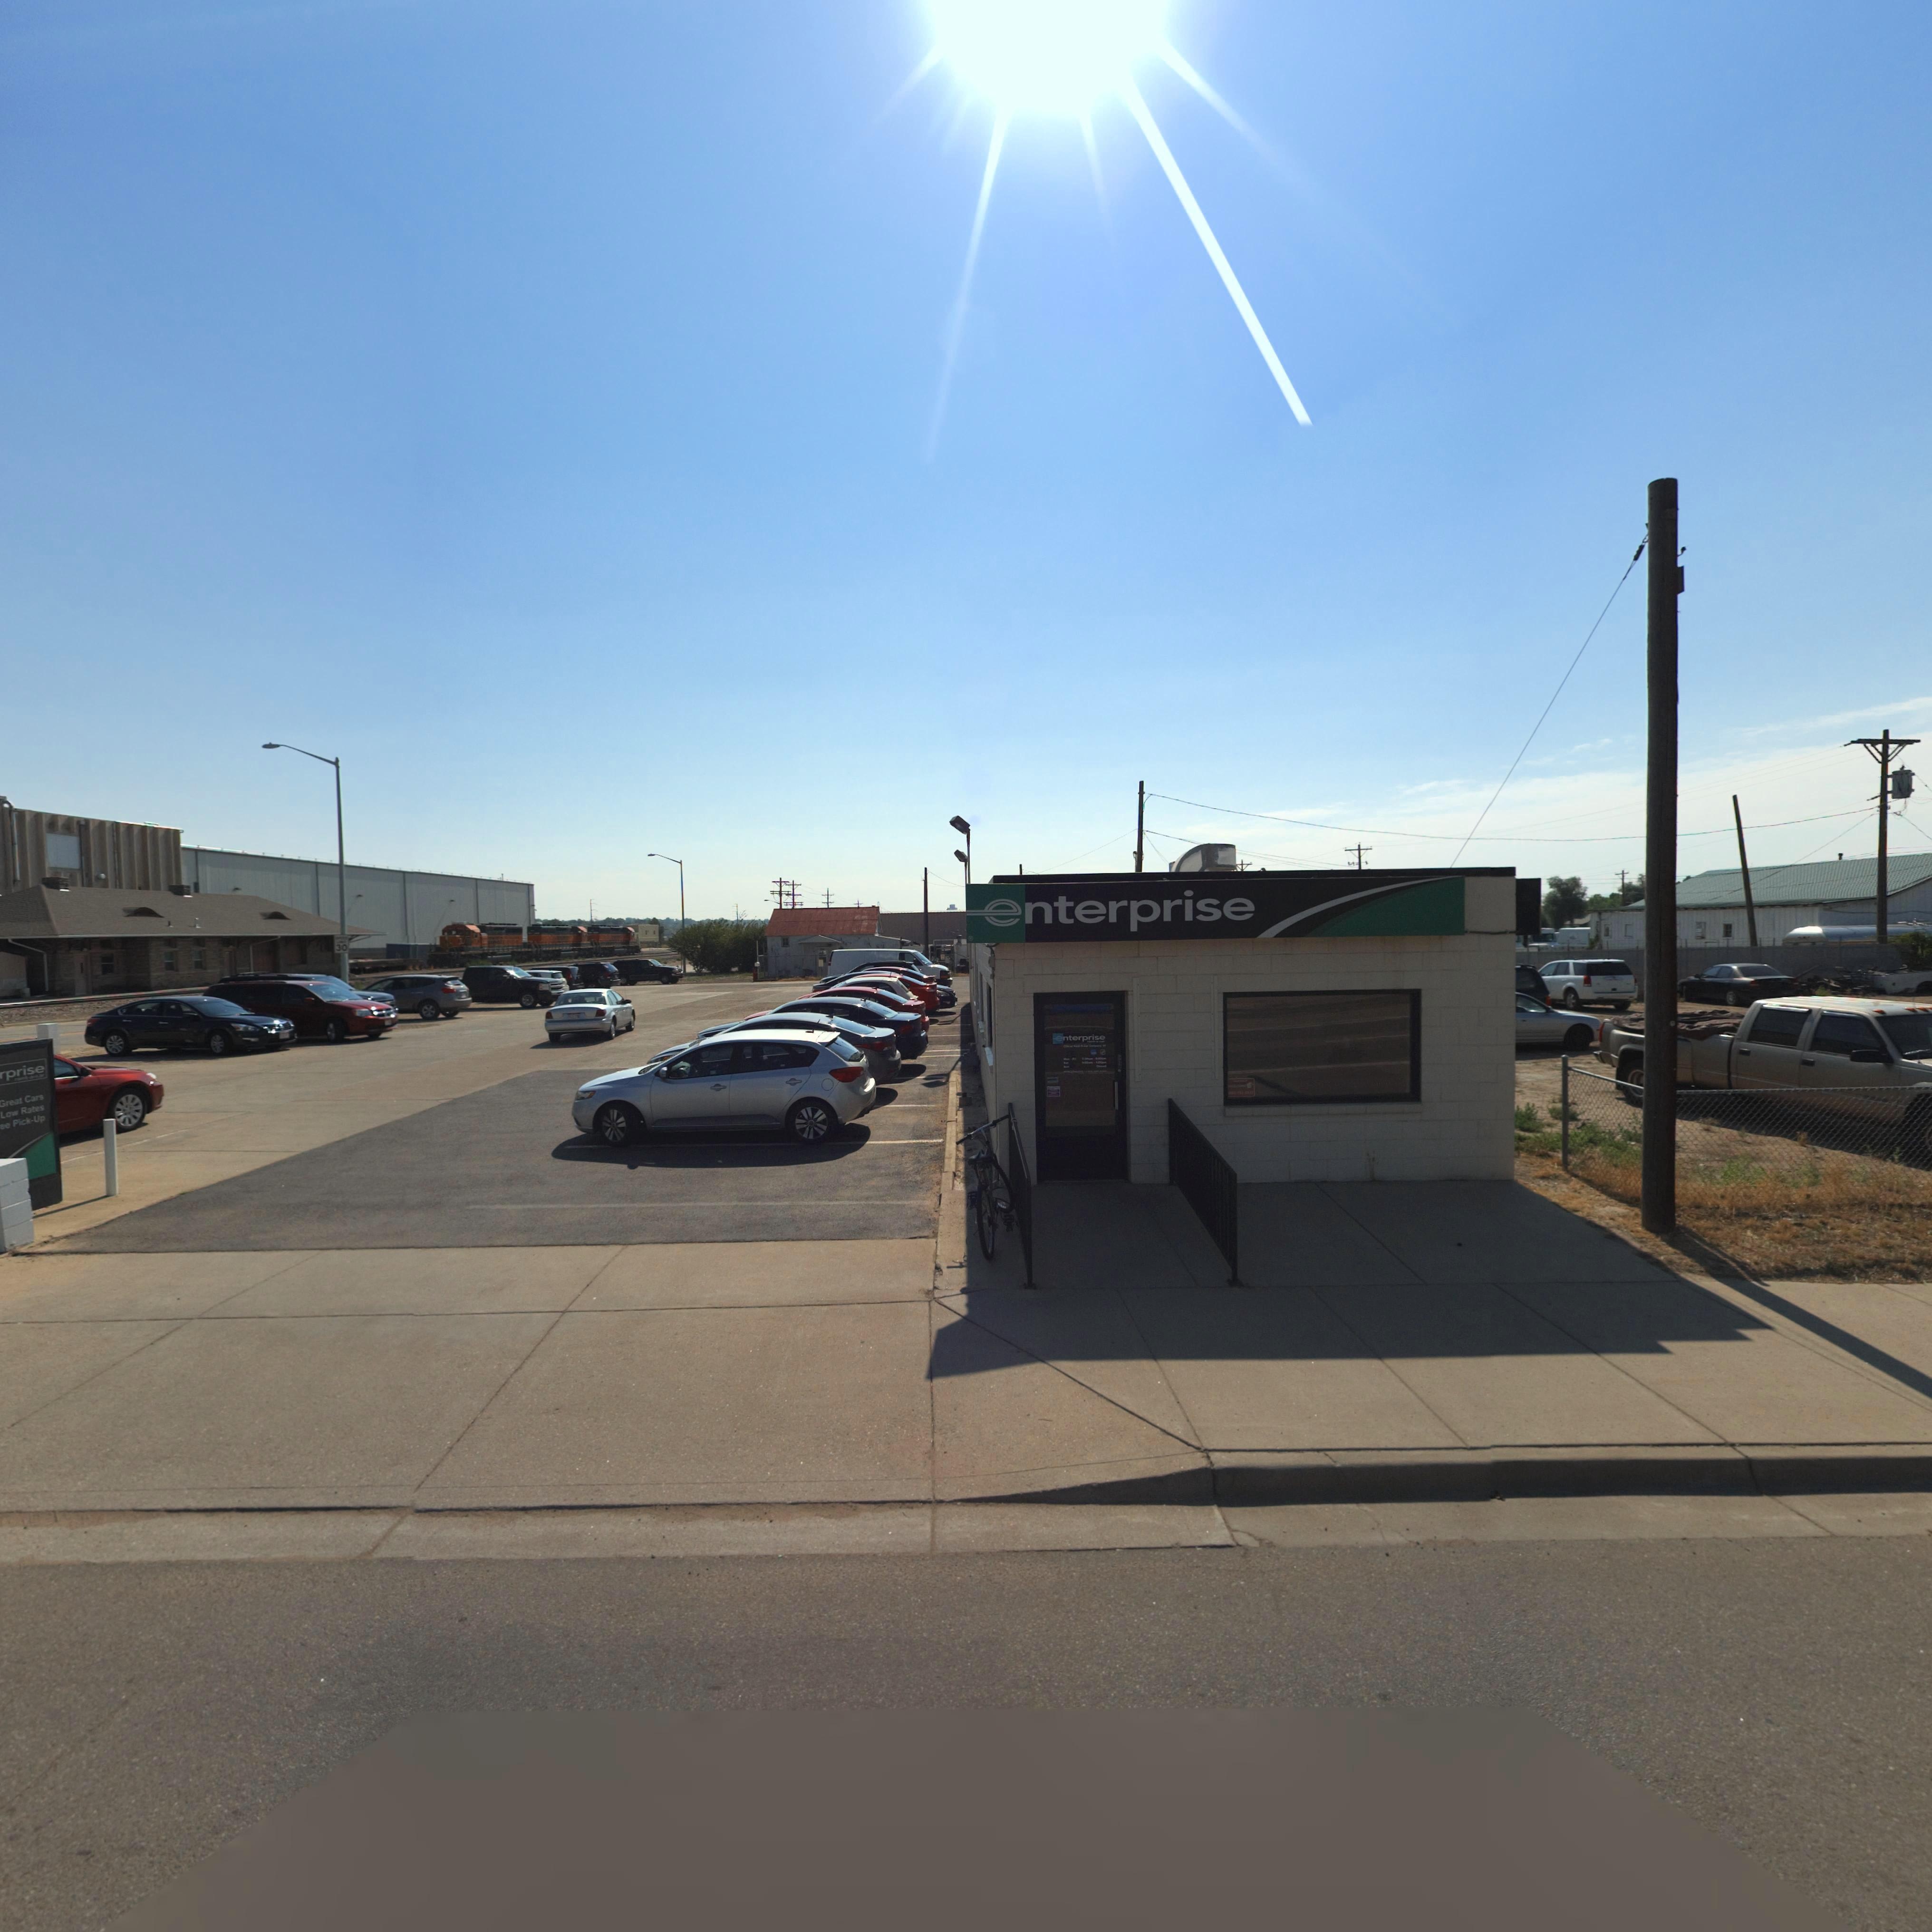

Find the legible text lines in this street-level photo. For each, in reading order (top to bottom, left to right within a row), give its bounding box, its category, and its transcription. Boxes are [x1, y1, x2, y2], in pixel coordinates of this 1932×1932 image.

[964, 889, 1255, 932] BusinessName: enterprise
[1052, 1034, 1105, 1042] BusinessName: enterprise
[6, 1064, 45, 1082] BusinessName: prise